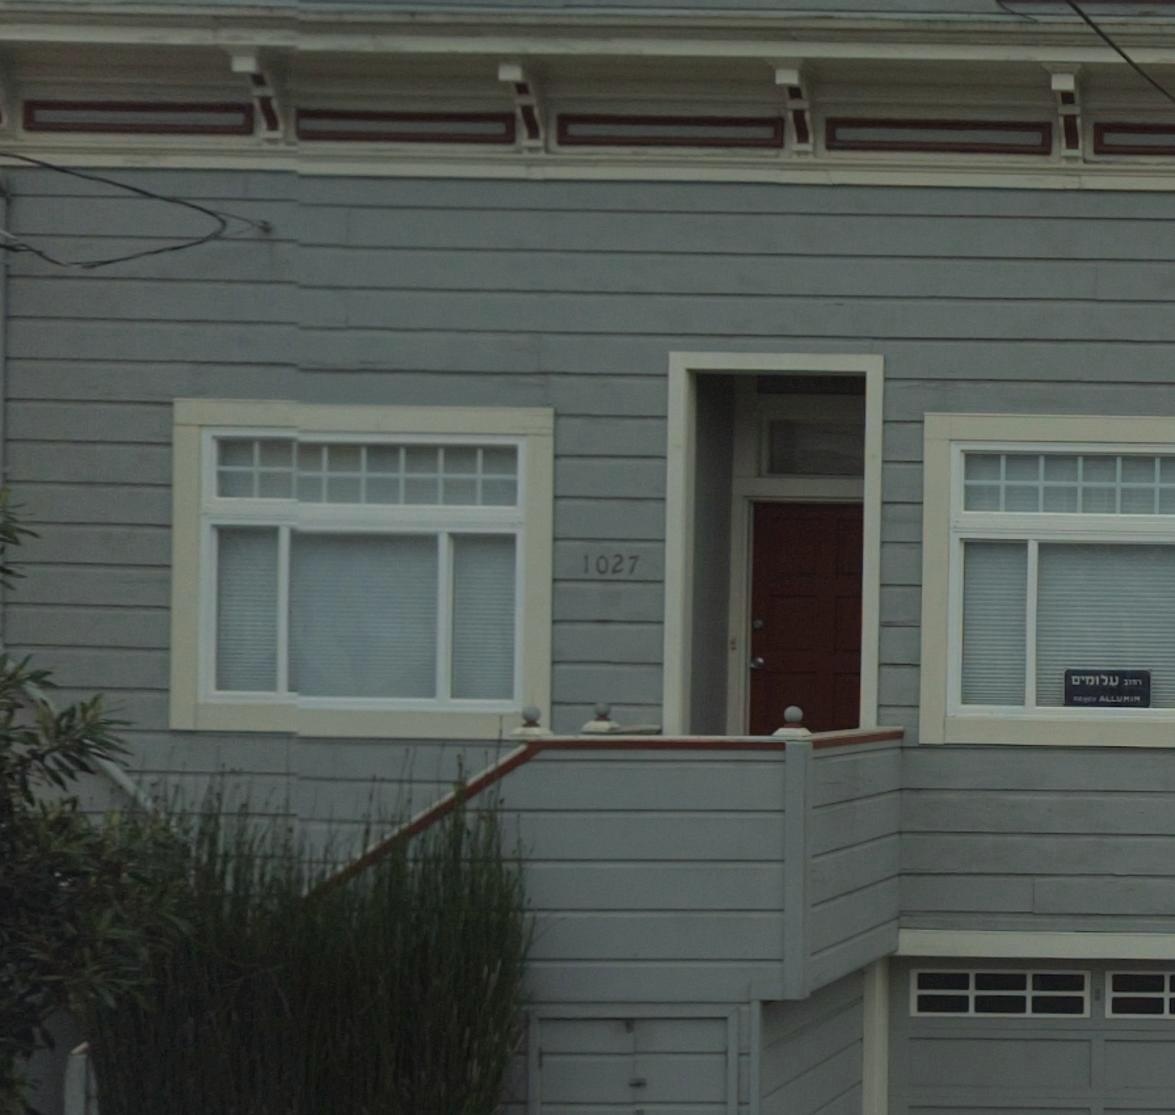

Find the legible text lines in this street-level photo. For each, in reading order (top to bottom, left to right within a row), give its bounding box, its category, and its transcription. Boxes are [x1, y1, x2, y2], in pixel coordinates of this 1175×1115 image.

[579, 552, 642, 576] StreetNumber: 1027
[1097, 694, 1141, 703] None: ALLUMIN